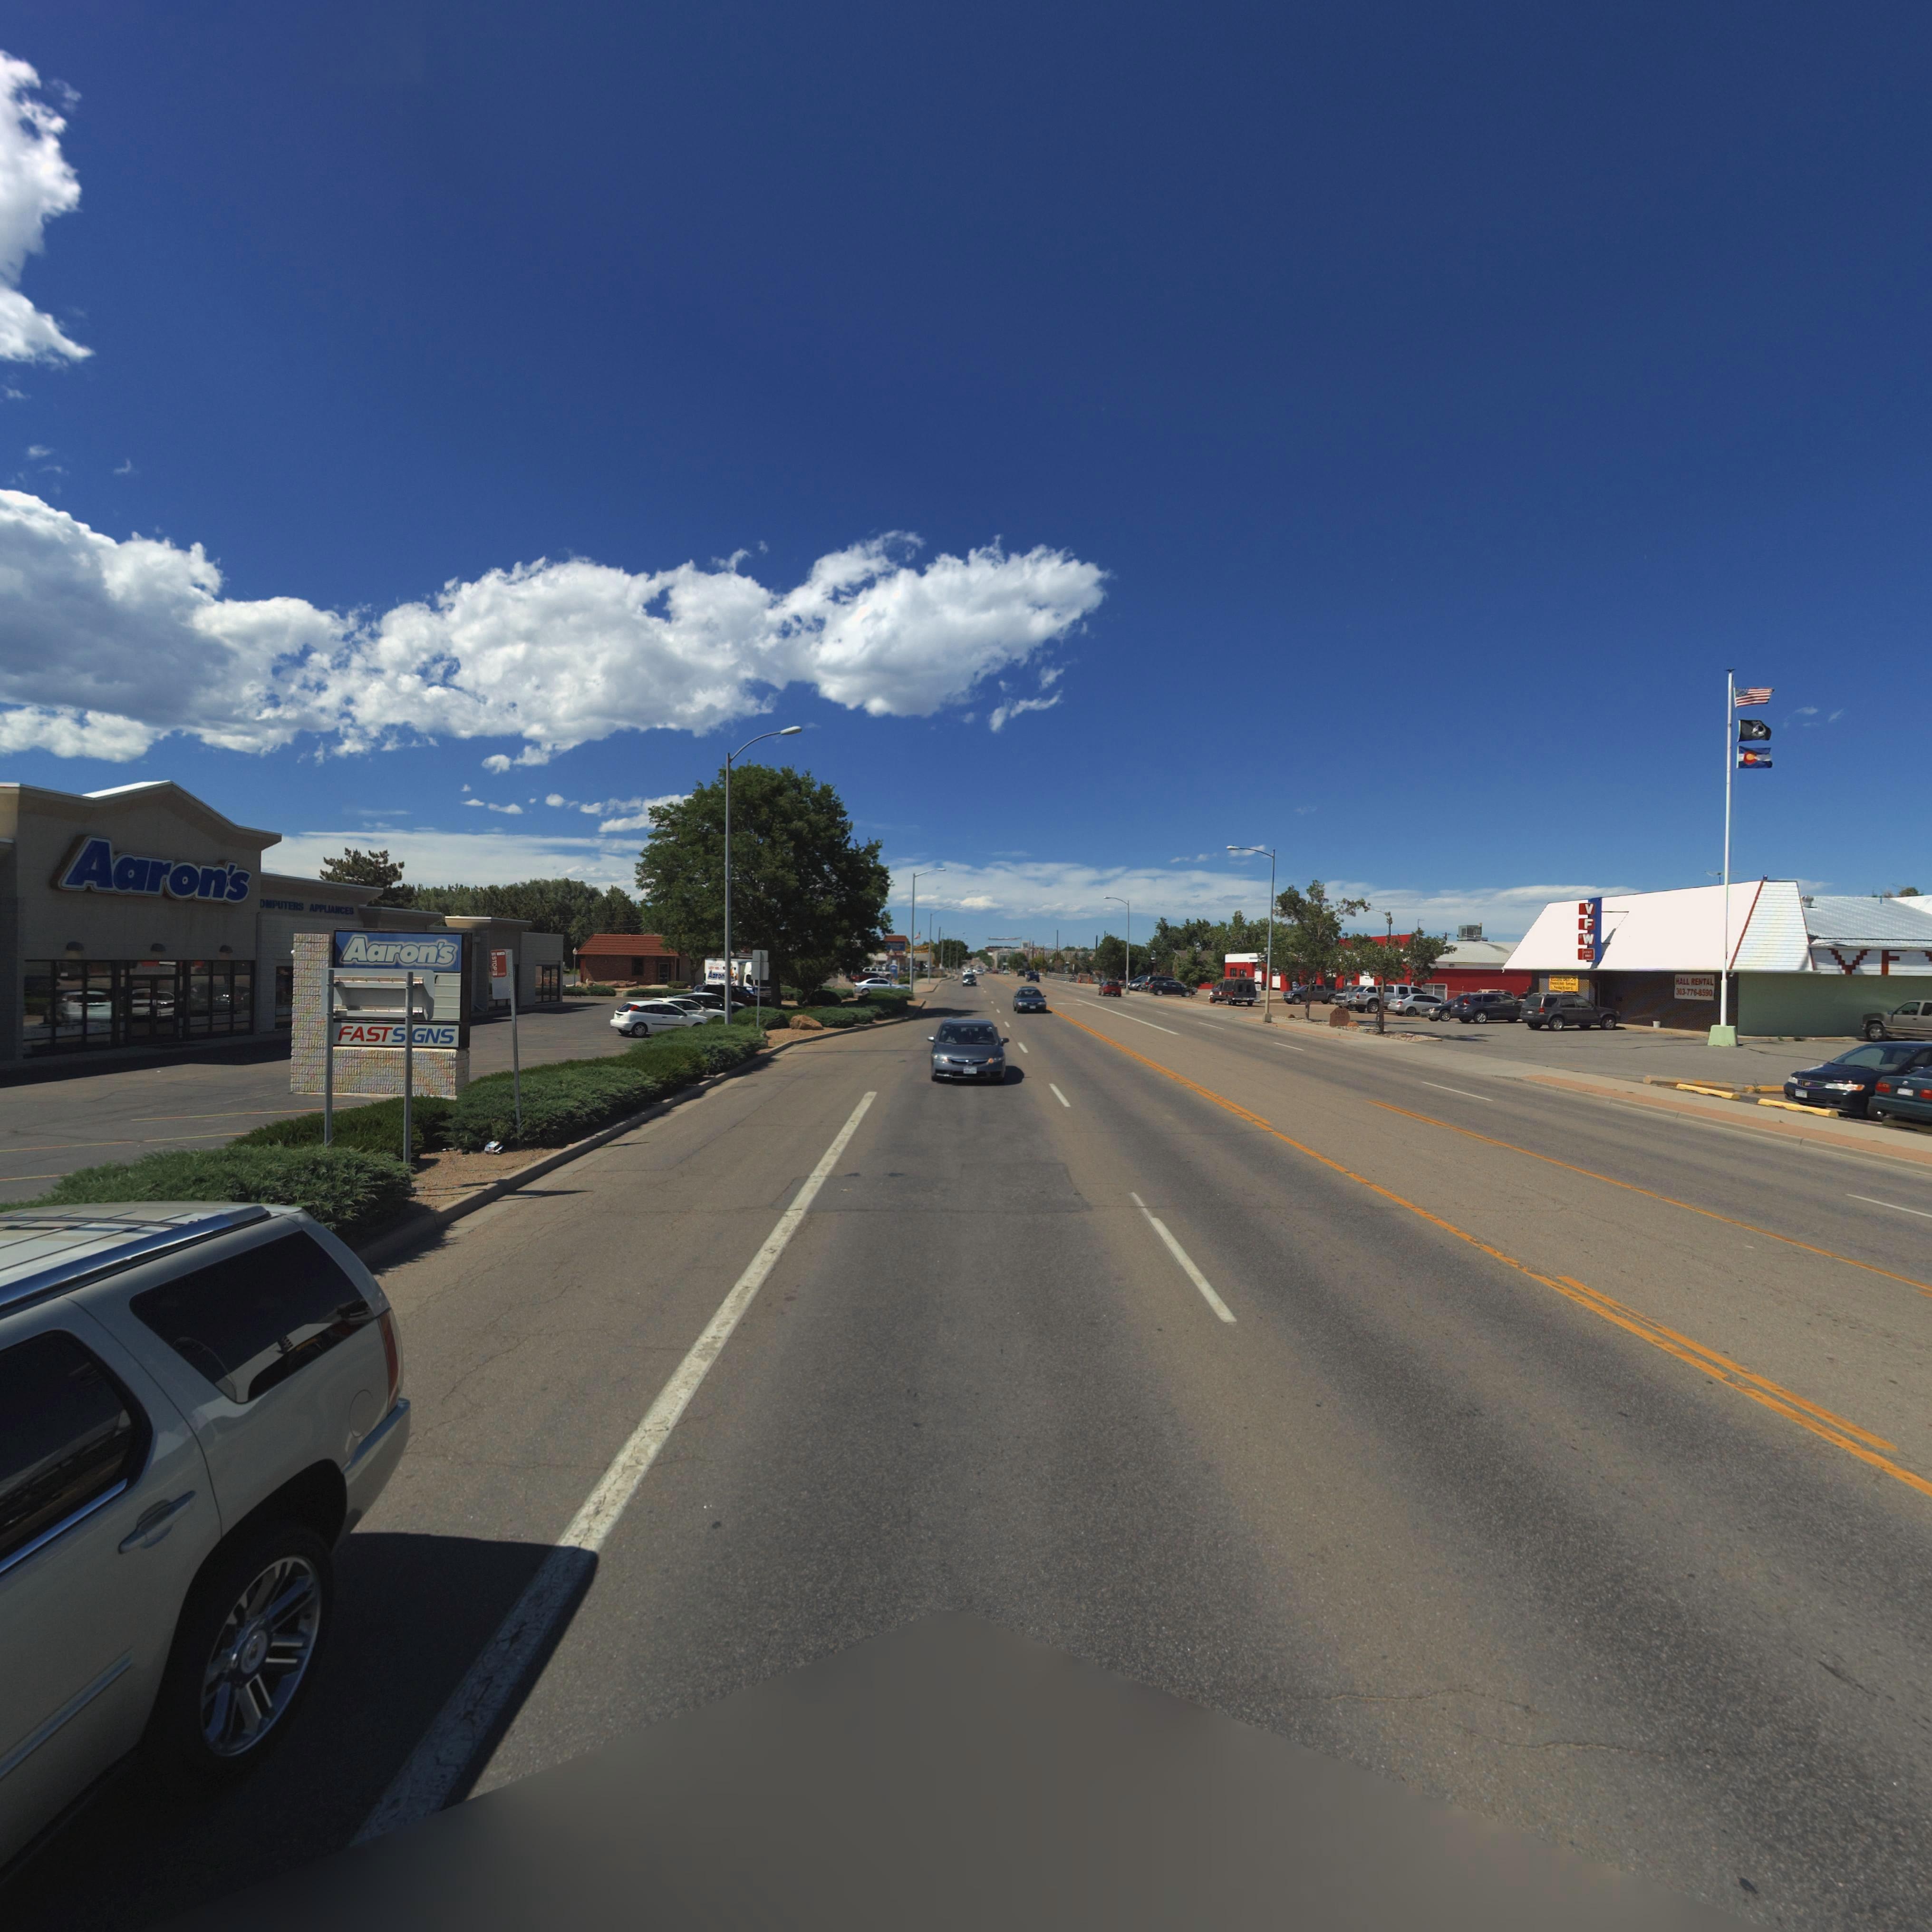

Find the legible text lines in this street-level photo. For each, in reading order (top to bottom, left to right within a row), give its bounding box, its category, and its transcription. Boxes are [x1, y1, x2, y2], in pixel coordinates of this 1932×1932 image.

[55, 835, 255, 904] BusinessName: Aaron*s
[260, 898, 355, 915] BusinessName: Aaron*s
[1582, 903, 1594, 945] BusinessName: VFW
[338, 935, 455, 967] BusinessName: Aaron*s
[1583, 950, 1592, 954] BusinessName: VFW
[1334, 1009, 1347, 1015] BusinessName: VFW
[336, 1024, 456, 1044] BusinessName: FASTS*GNS